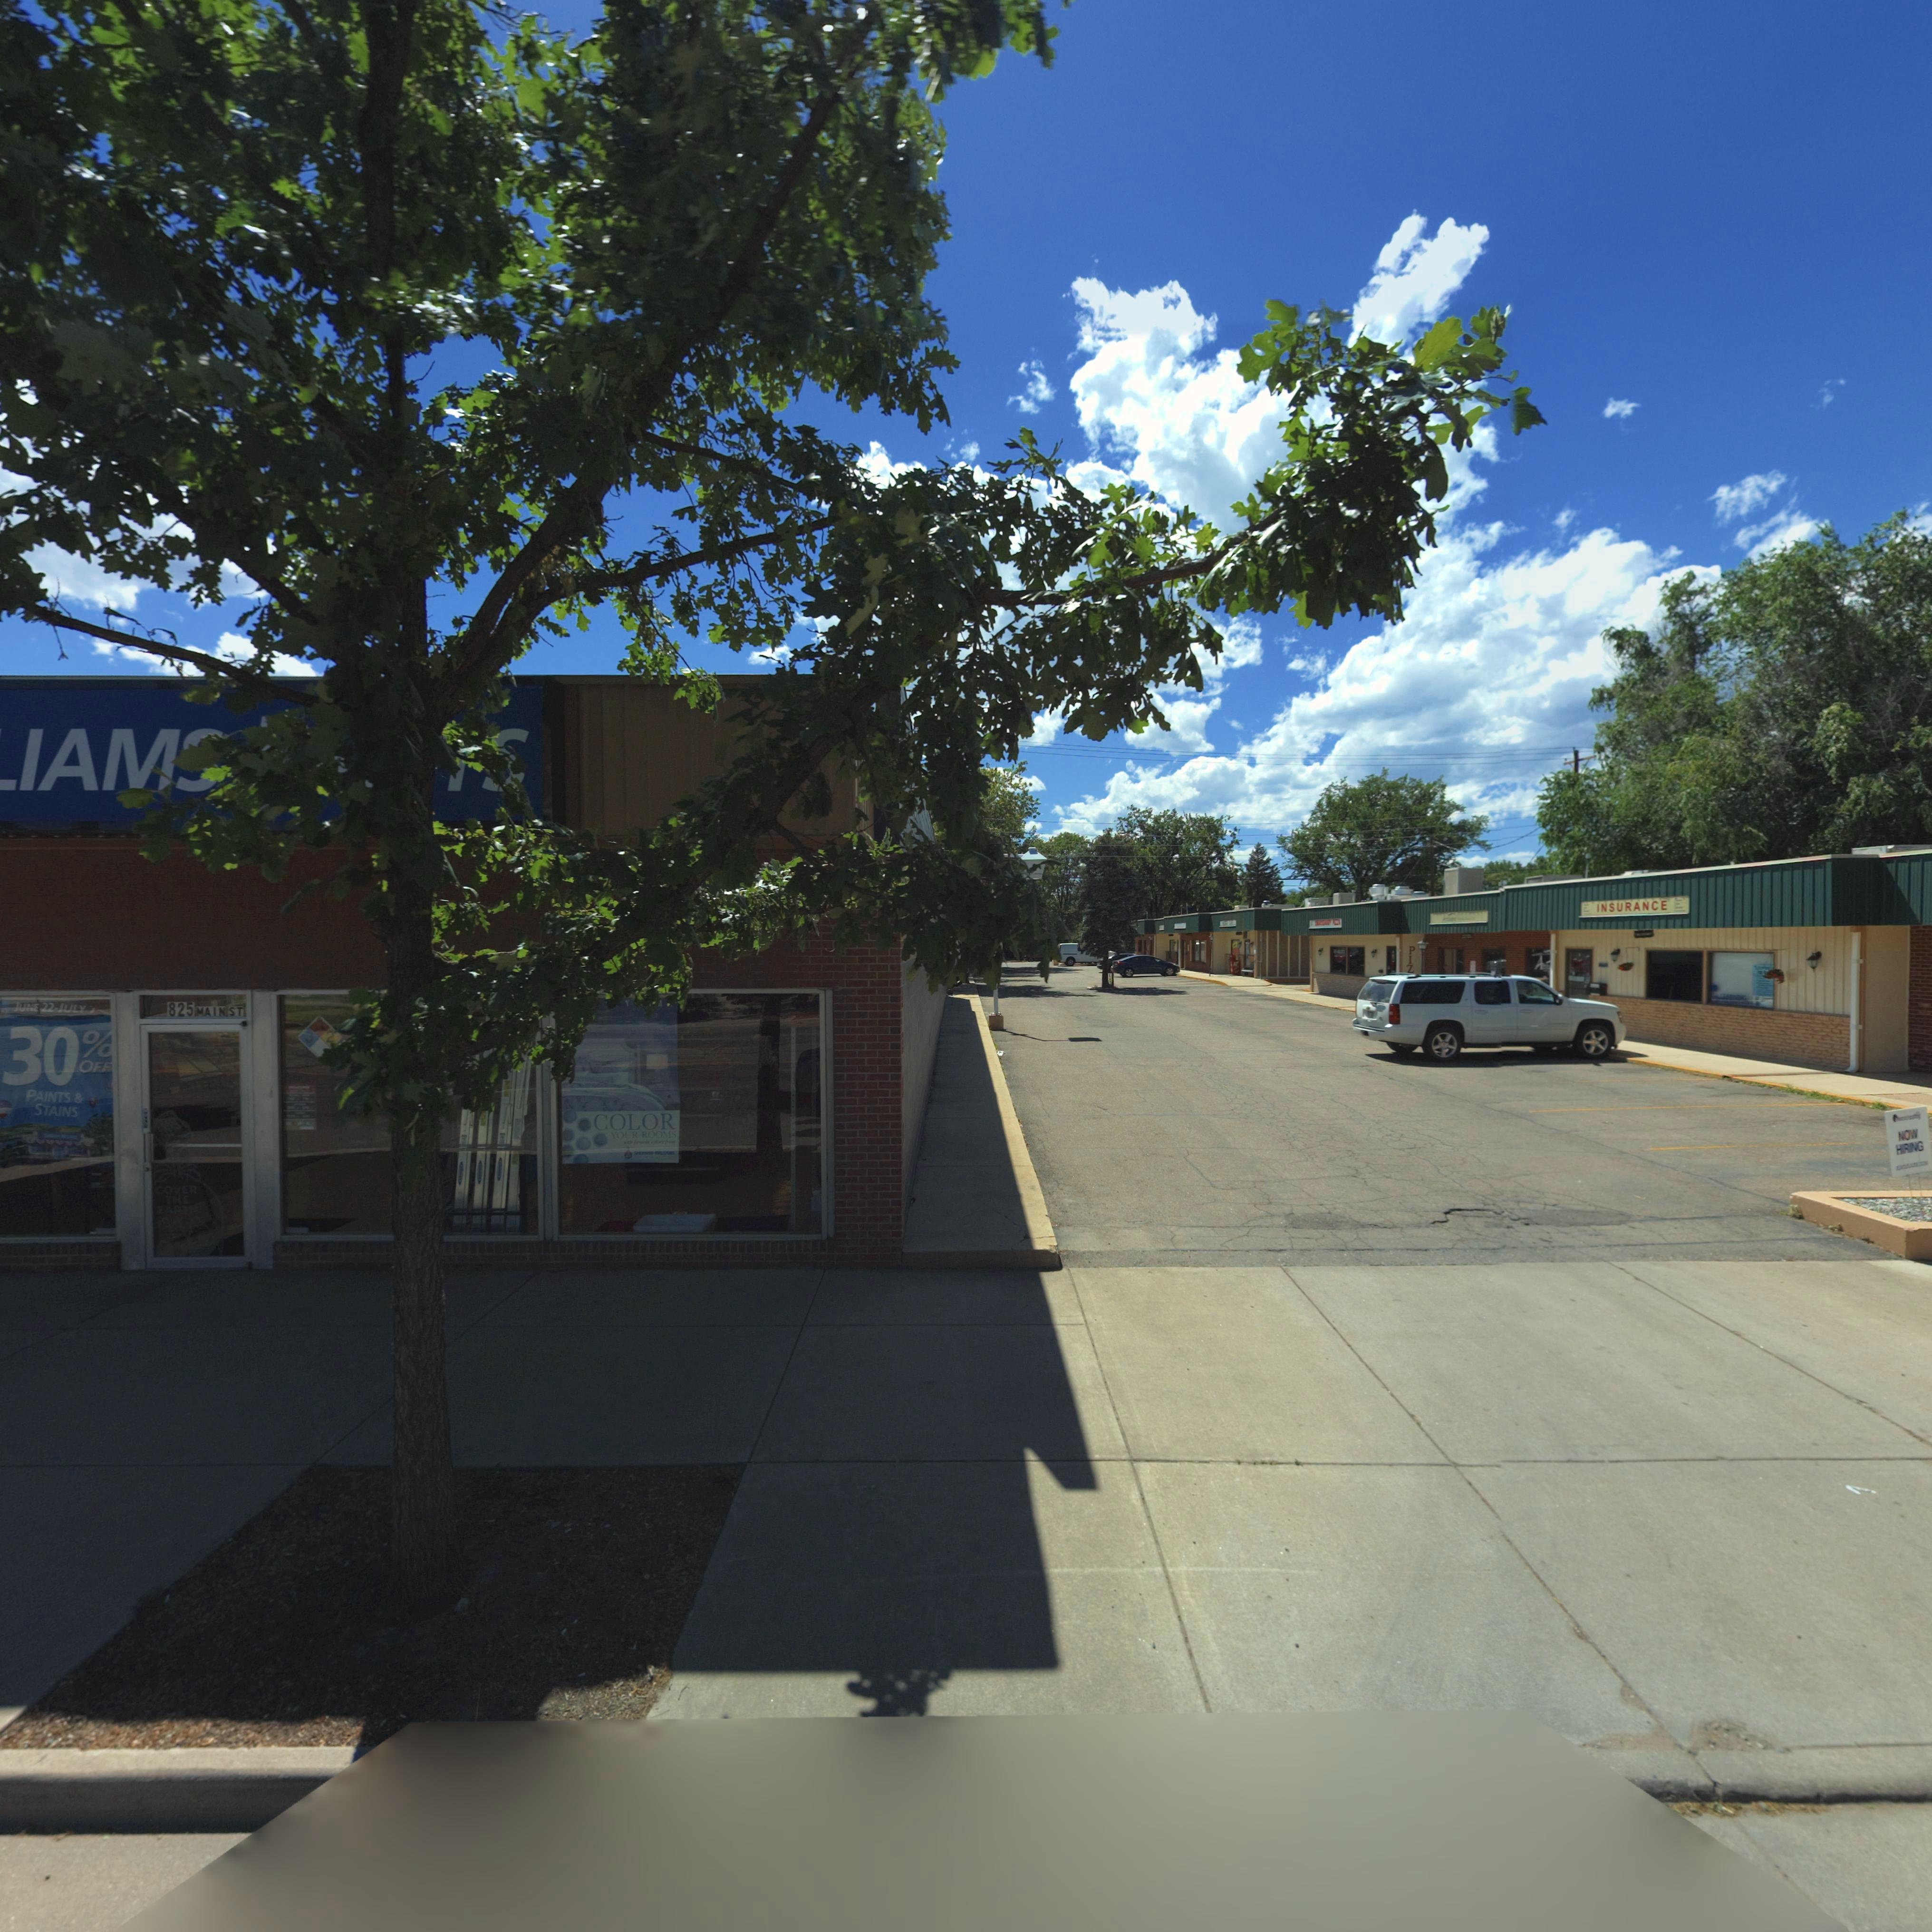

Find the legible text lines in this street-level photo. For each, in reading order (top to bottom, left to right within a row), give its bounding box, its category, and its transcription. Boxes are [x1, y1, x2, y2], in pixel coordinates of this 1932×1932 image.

[17, 726, 534, 795] BusinessName: IAM* ******
[1314, 918, 1341, 926] BusinessName: ********** PIZZA
[167, 1001, 193, 1017] StreetNumber: 825
[196, 1006, 244, 1017] StreetName: MAIN ST